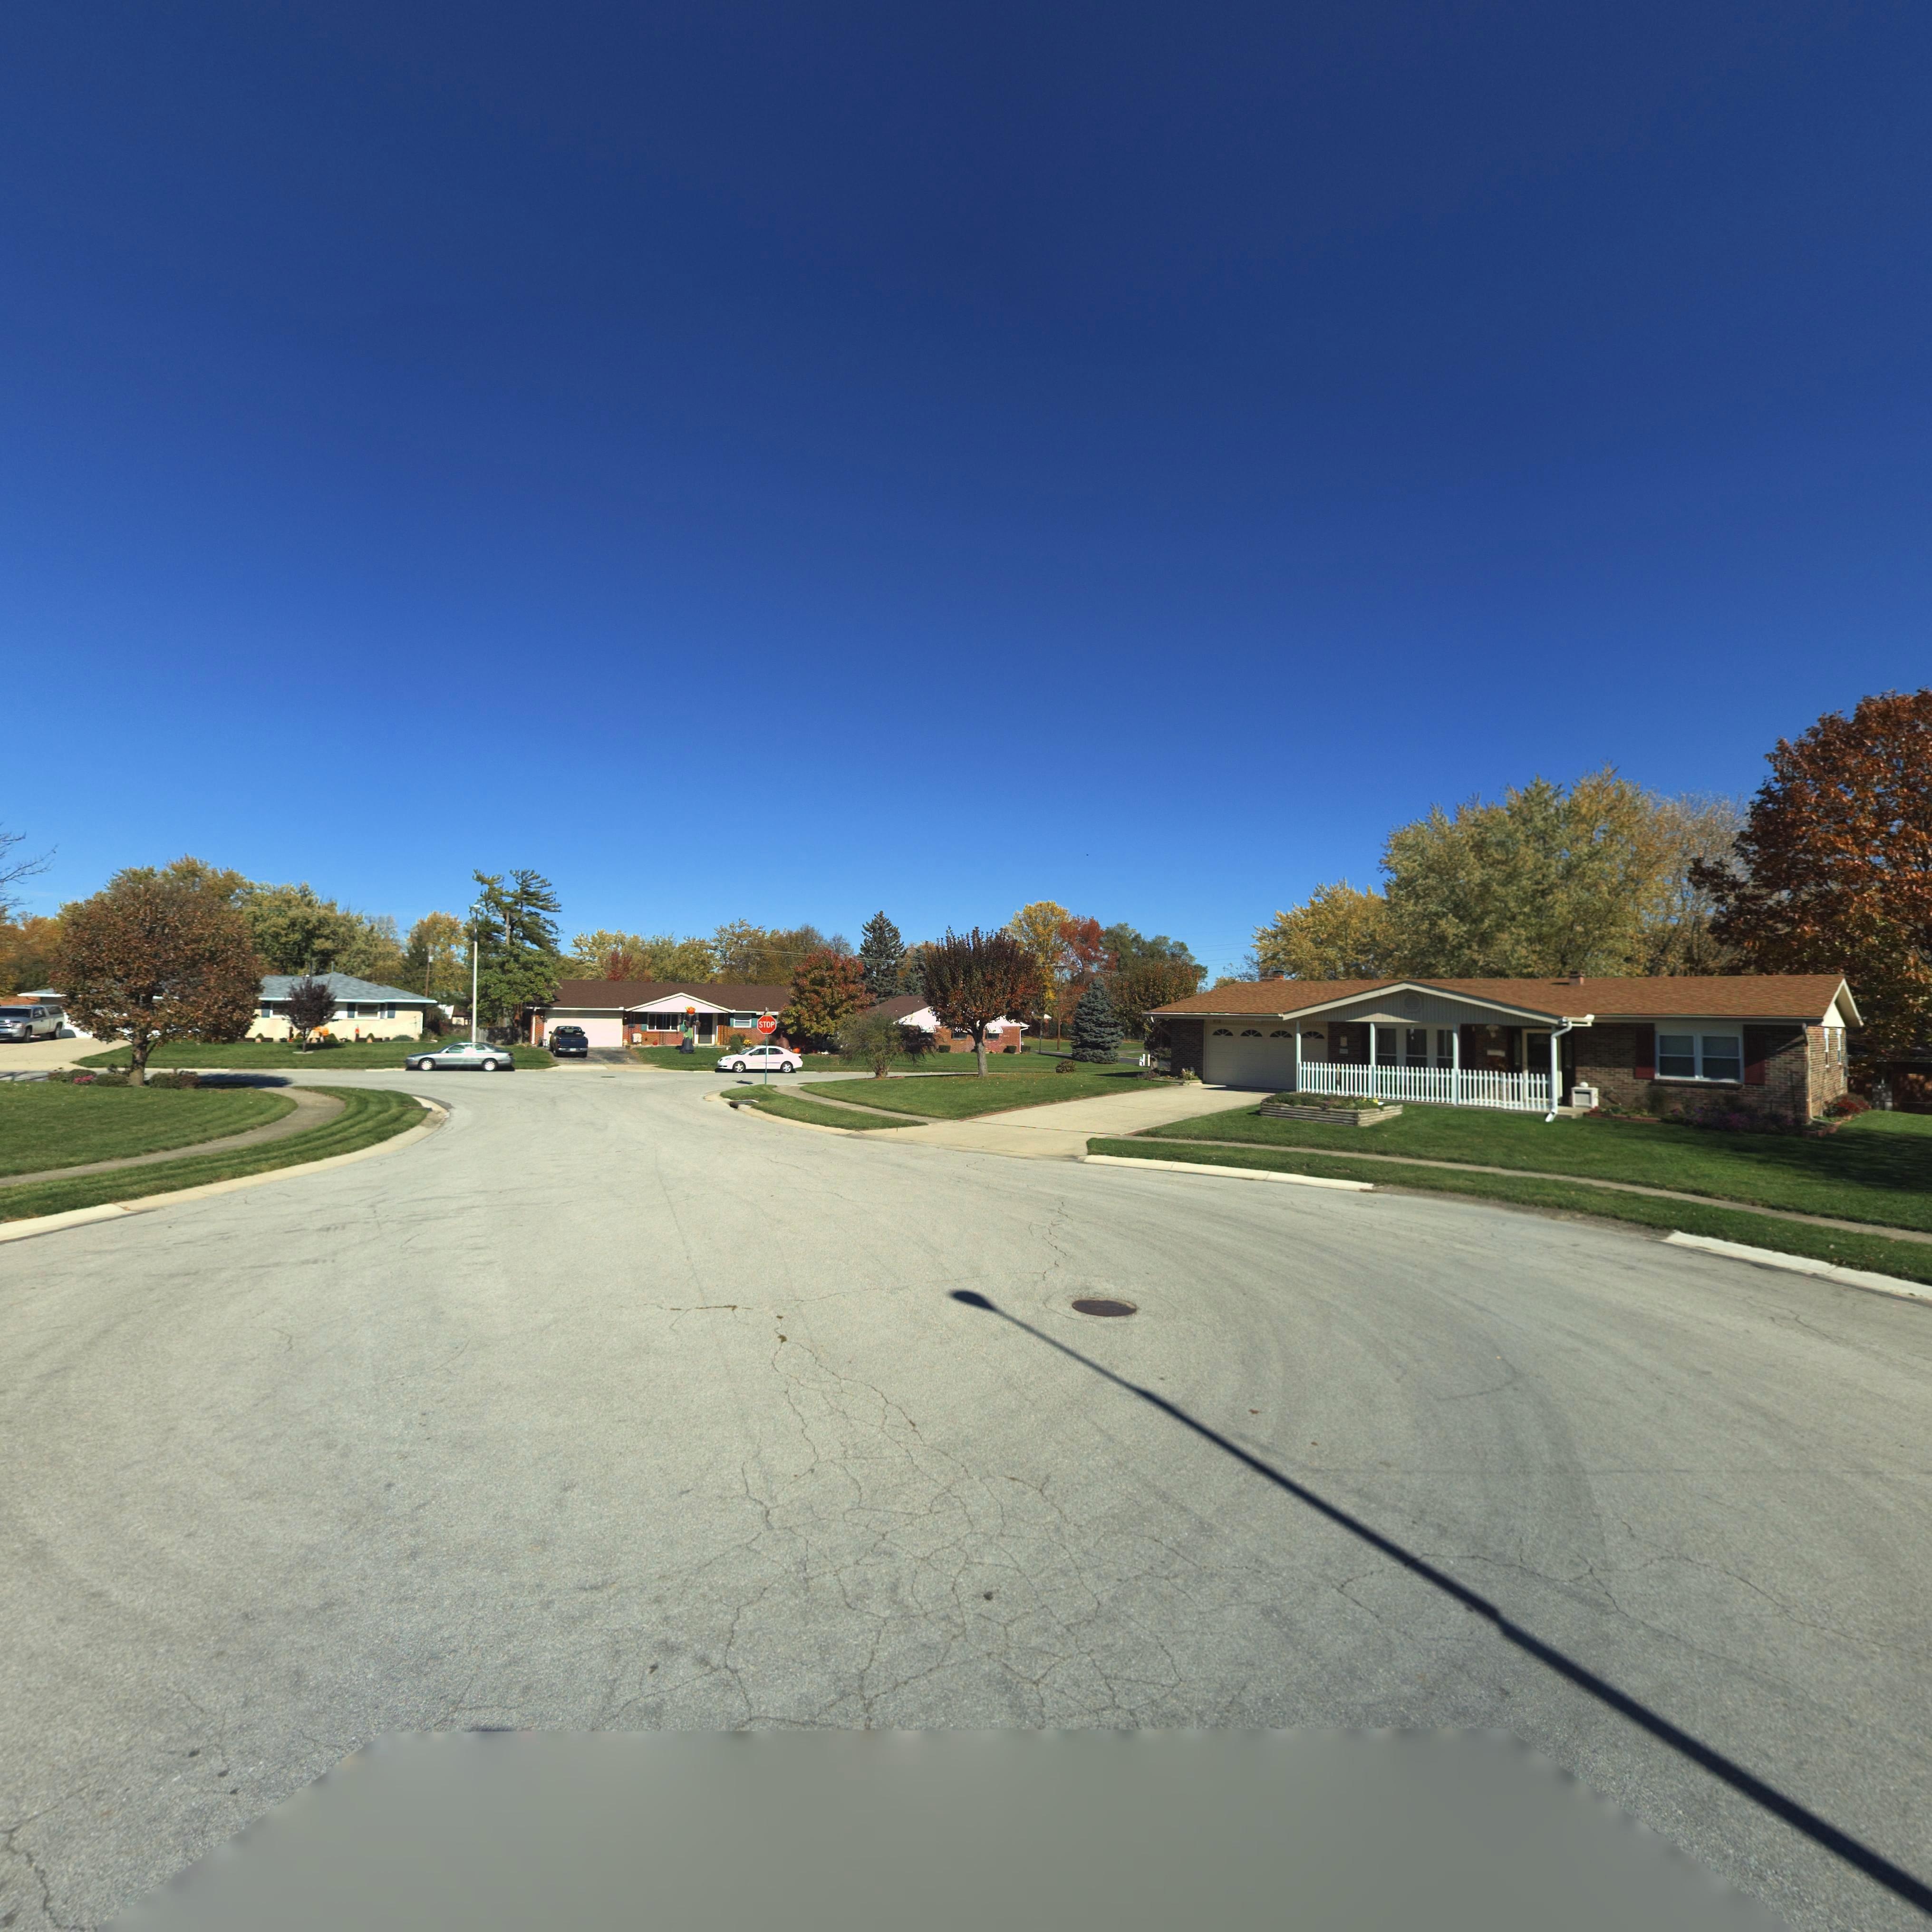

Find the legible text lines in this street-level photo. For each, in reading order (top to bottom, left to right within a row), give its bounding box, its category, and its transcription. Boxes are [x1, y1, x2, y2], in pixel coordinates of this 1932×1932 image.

[1213, 1019, 1221, 1024] StreetNumber: 6*2